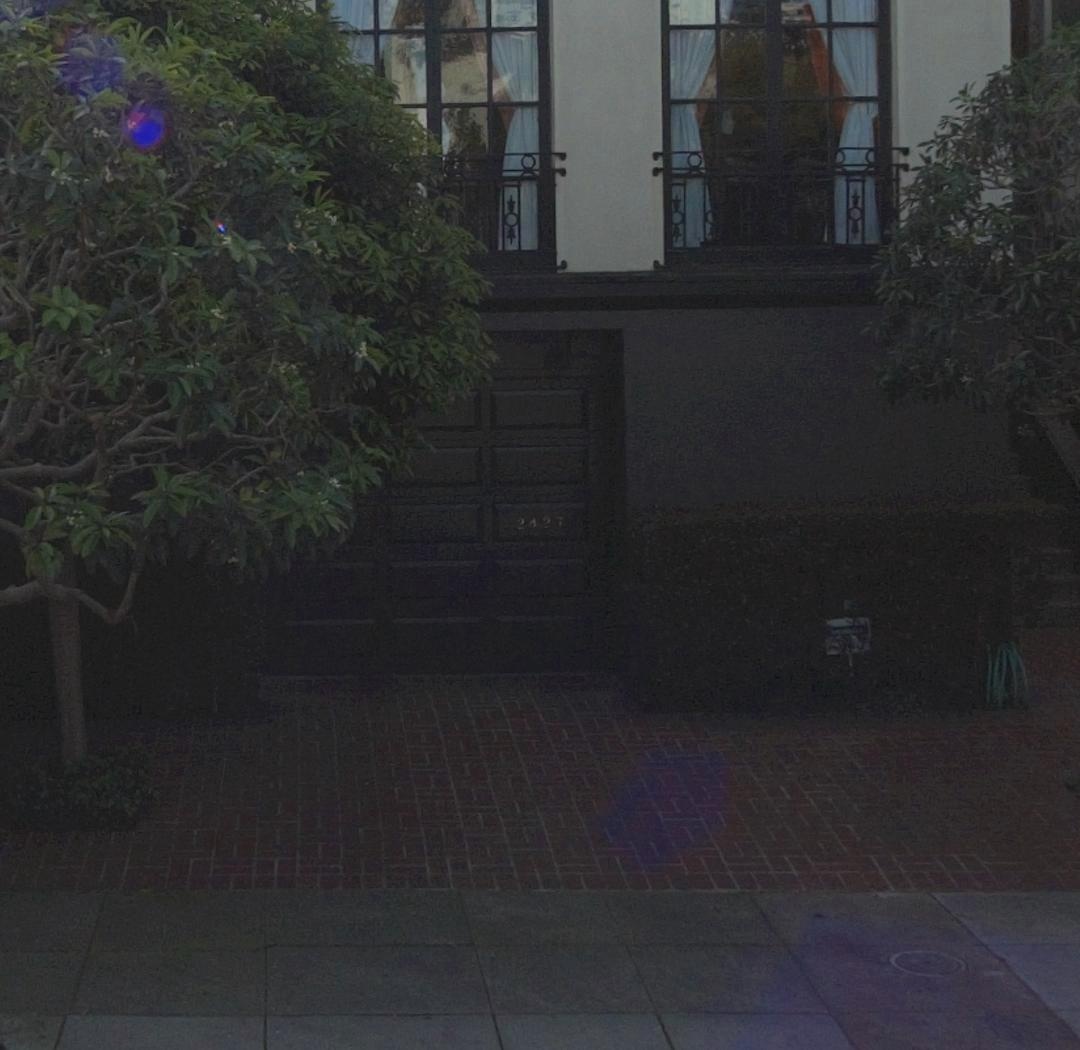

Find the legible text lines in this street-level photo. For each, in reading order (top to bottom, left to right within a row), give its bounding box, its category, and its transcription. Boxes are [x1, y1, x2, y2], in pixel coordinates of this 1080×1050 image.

[515, 514, 565, 532] StreetNumber: 2427